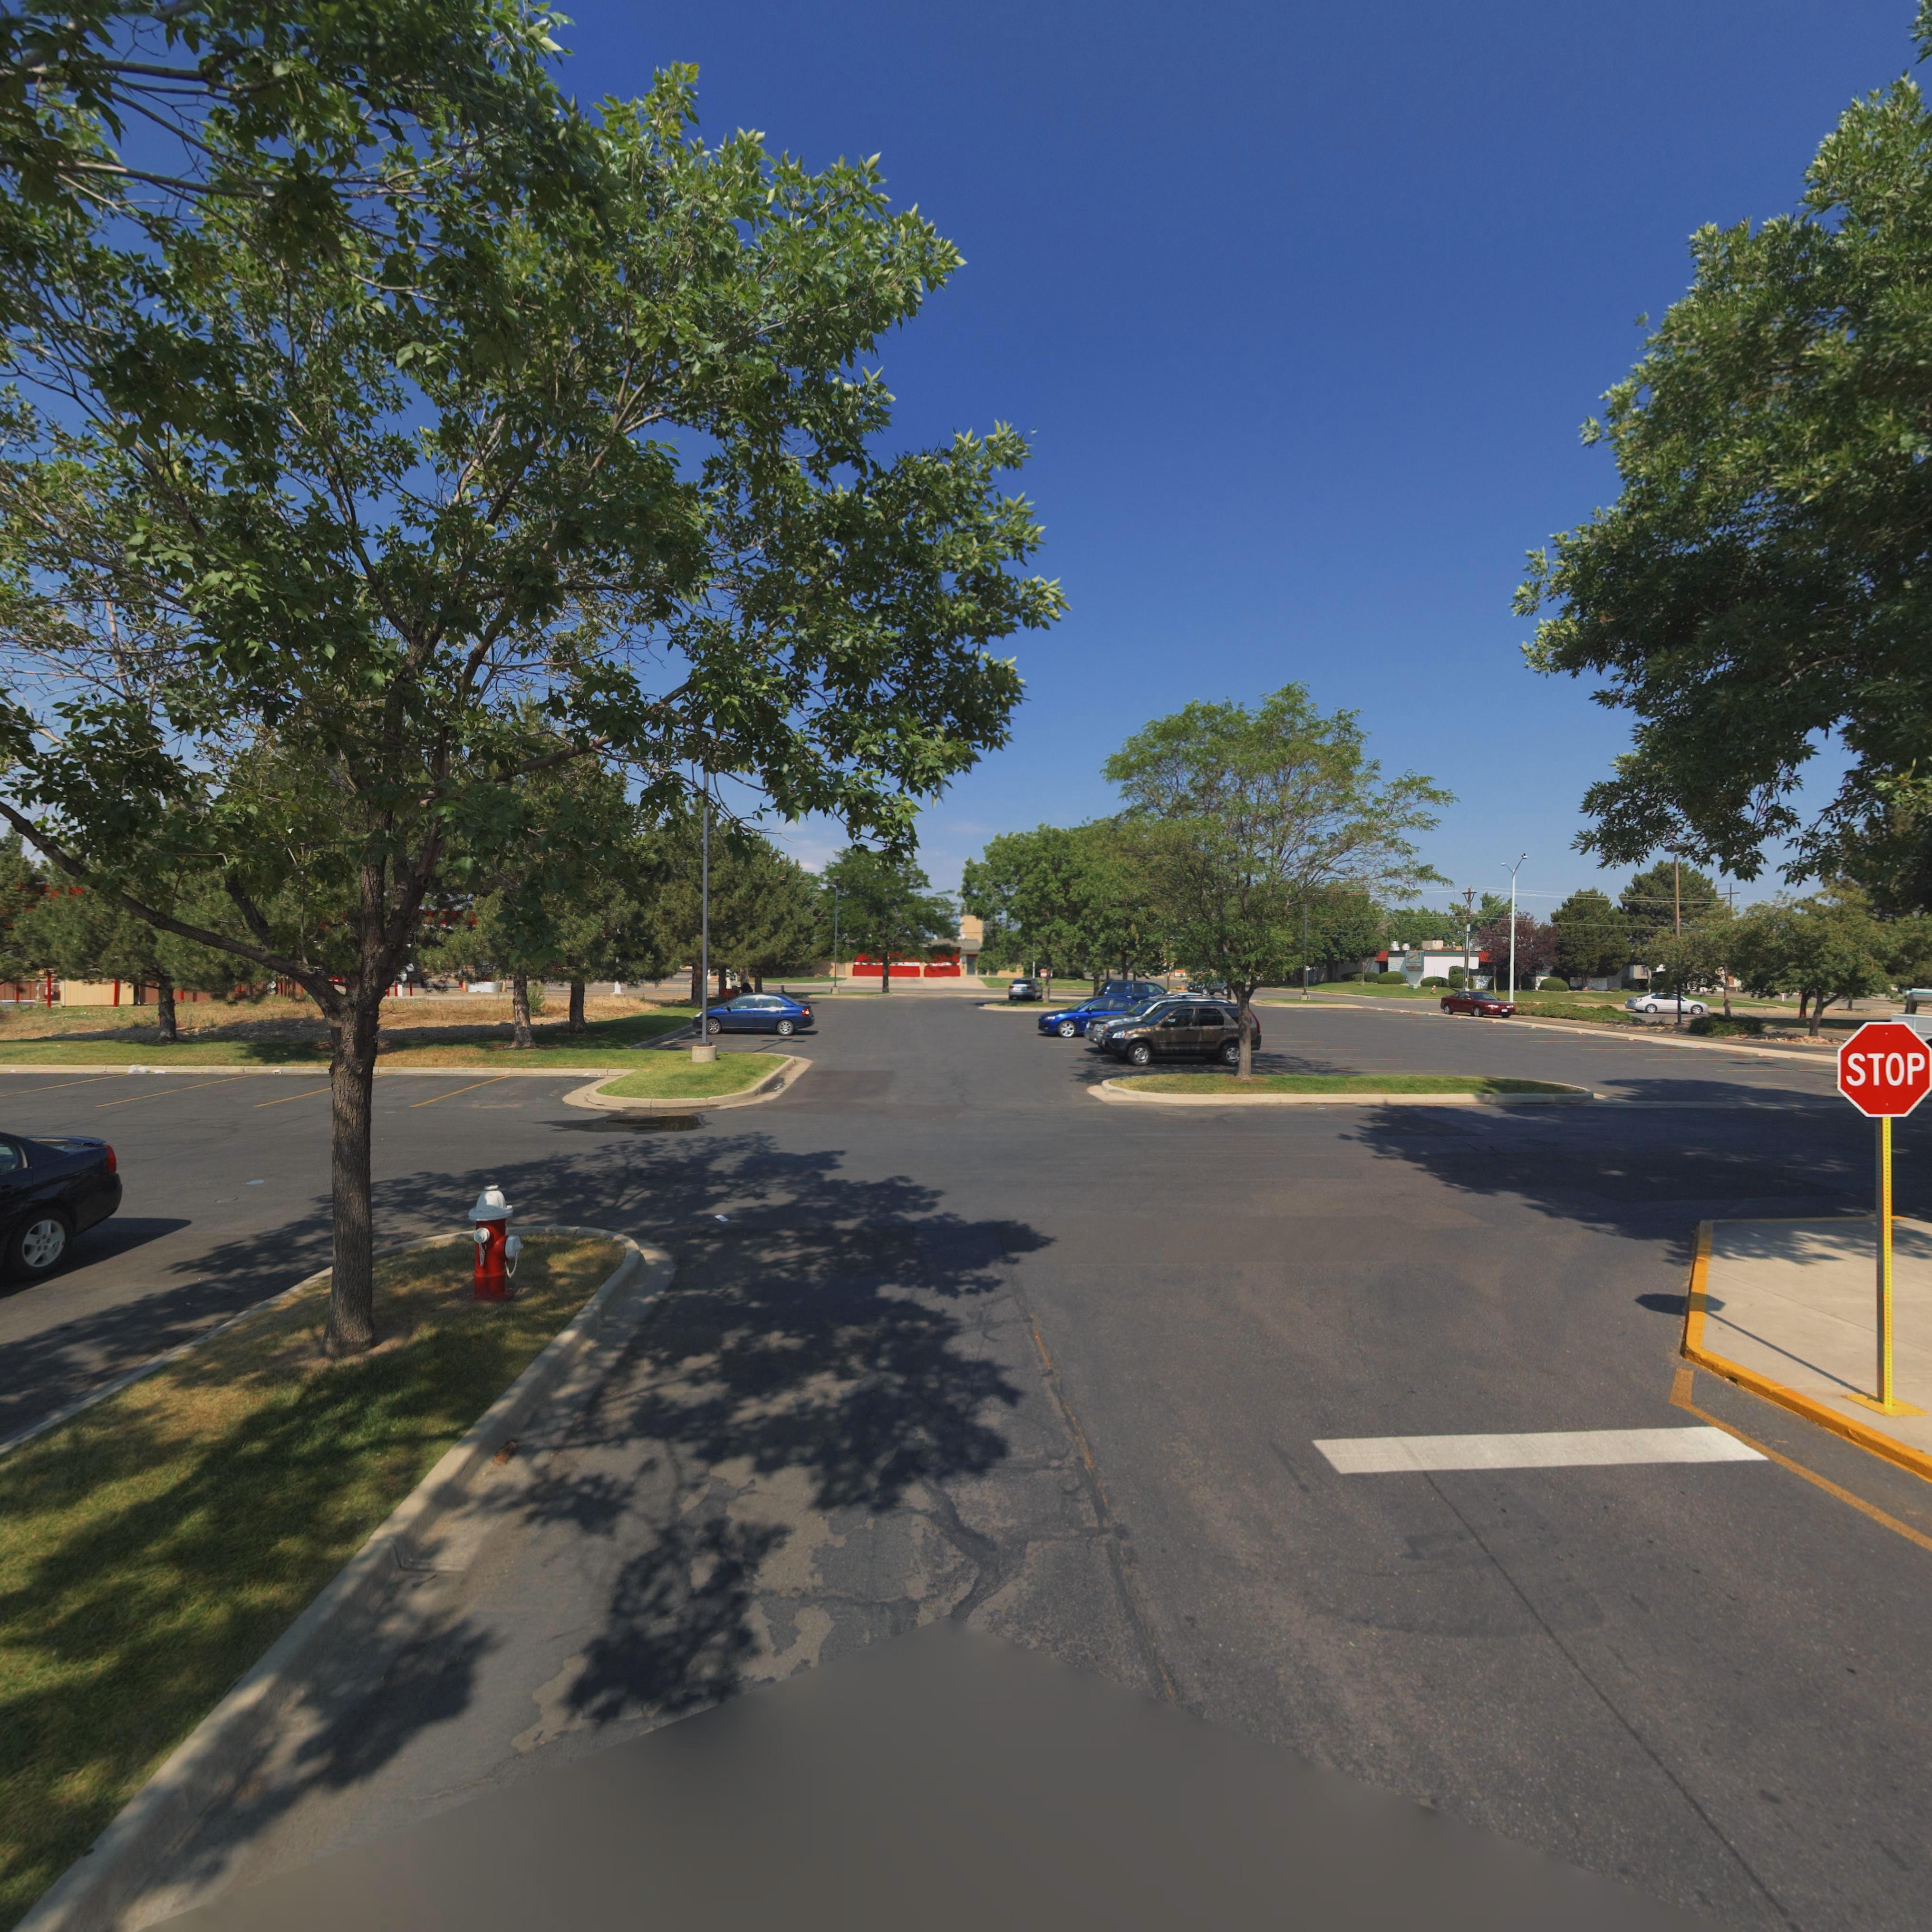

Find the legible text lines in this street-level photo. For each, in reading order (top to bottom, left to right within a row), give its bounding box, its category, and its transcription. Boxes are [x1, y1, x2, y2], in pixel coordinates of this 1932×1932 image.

[1406, 952, 1417, 963] BusinessName: Efr***'*